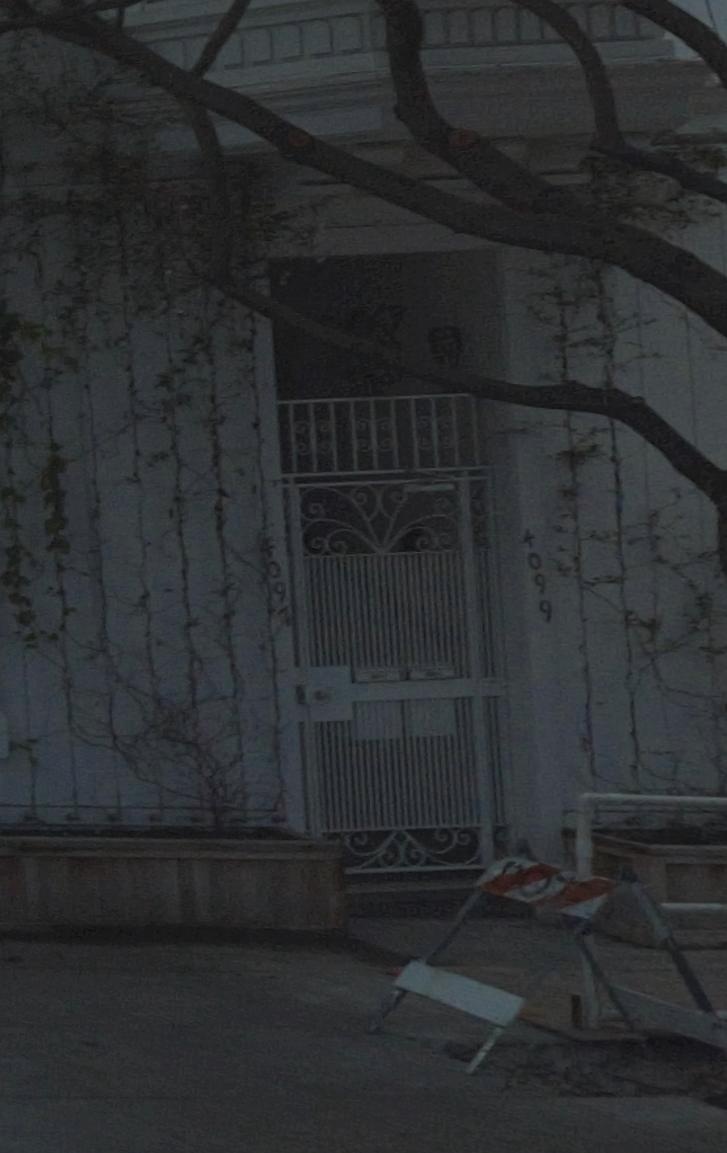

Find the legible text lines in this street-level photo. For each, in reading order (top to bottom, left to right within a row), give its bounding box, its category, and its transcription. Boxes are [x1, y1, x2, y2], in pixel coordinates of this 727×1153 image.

[518, 526, 557, 625] StreetNumber: 4099